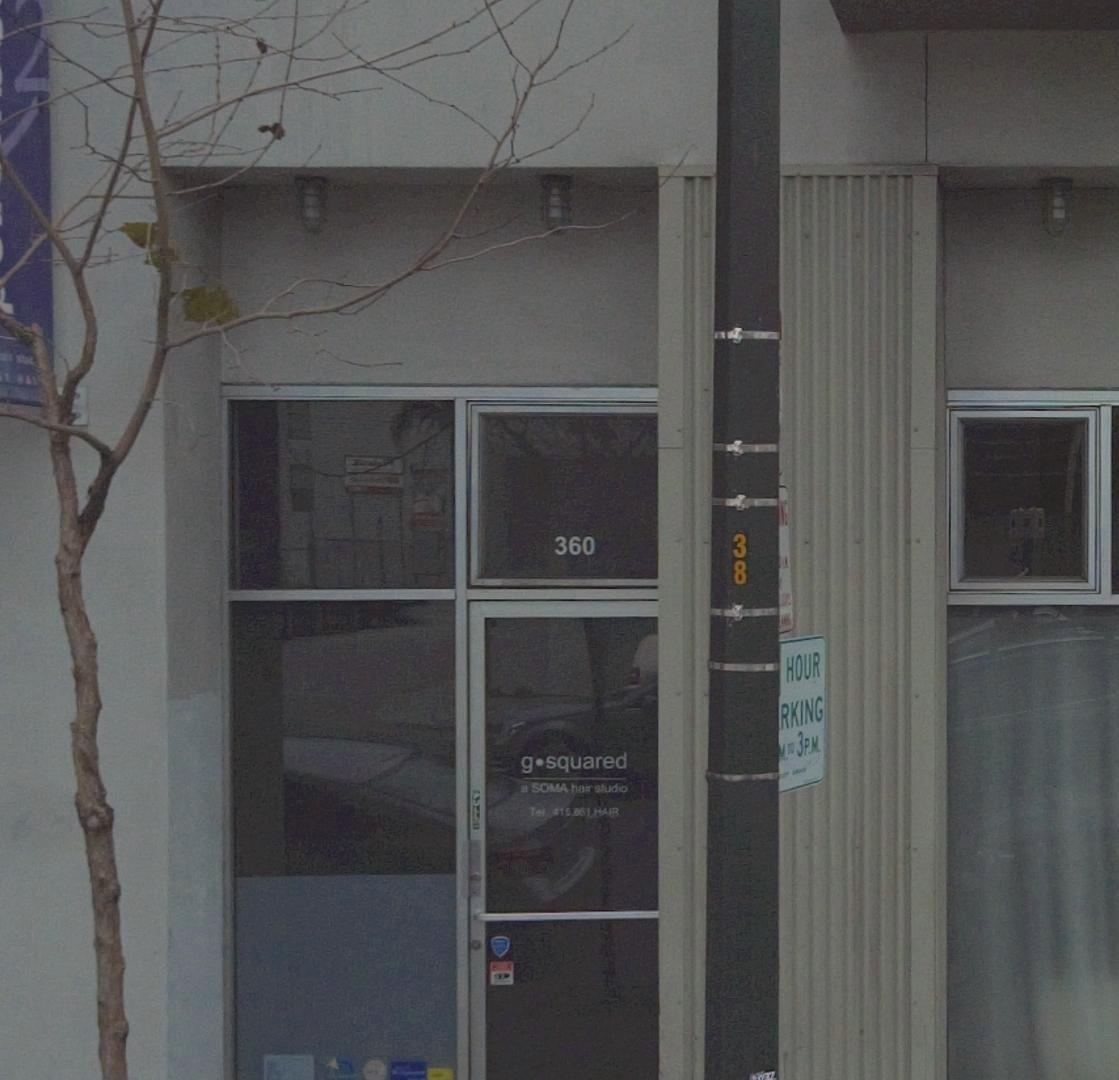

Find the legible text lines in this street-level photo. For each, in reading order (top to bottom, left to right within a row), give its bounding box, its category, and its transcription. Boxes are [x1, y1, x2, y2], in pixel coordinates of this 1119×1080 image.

[553, 534, 597, 558] StreetNumber: 360e
[730, 530, 750, 589] None: 38
[784, 648, 823, 685] None: HOUR
[779, 692, 826, 733] None: RKING'
[794, 728, 824, 762] None: 3P.M.
[518, 748, 631, 777] BusinessName: g*squared
[529, 779, 630, 796] None: SOMA **** studio
[558, 805, 574, 820] None: 15